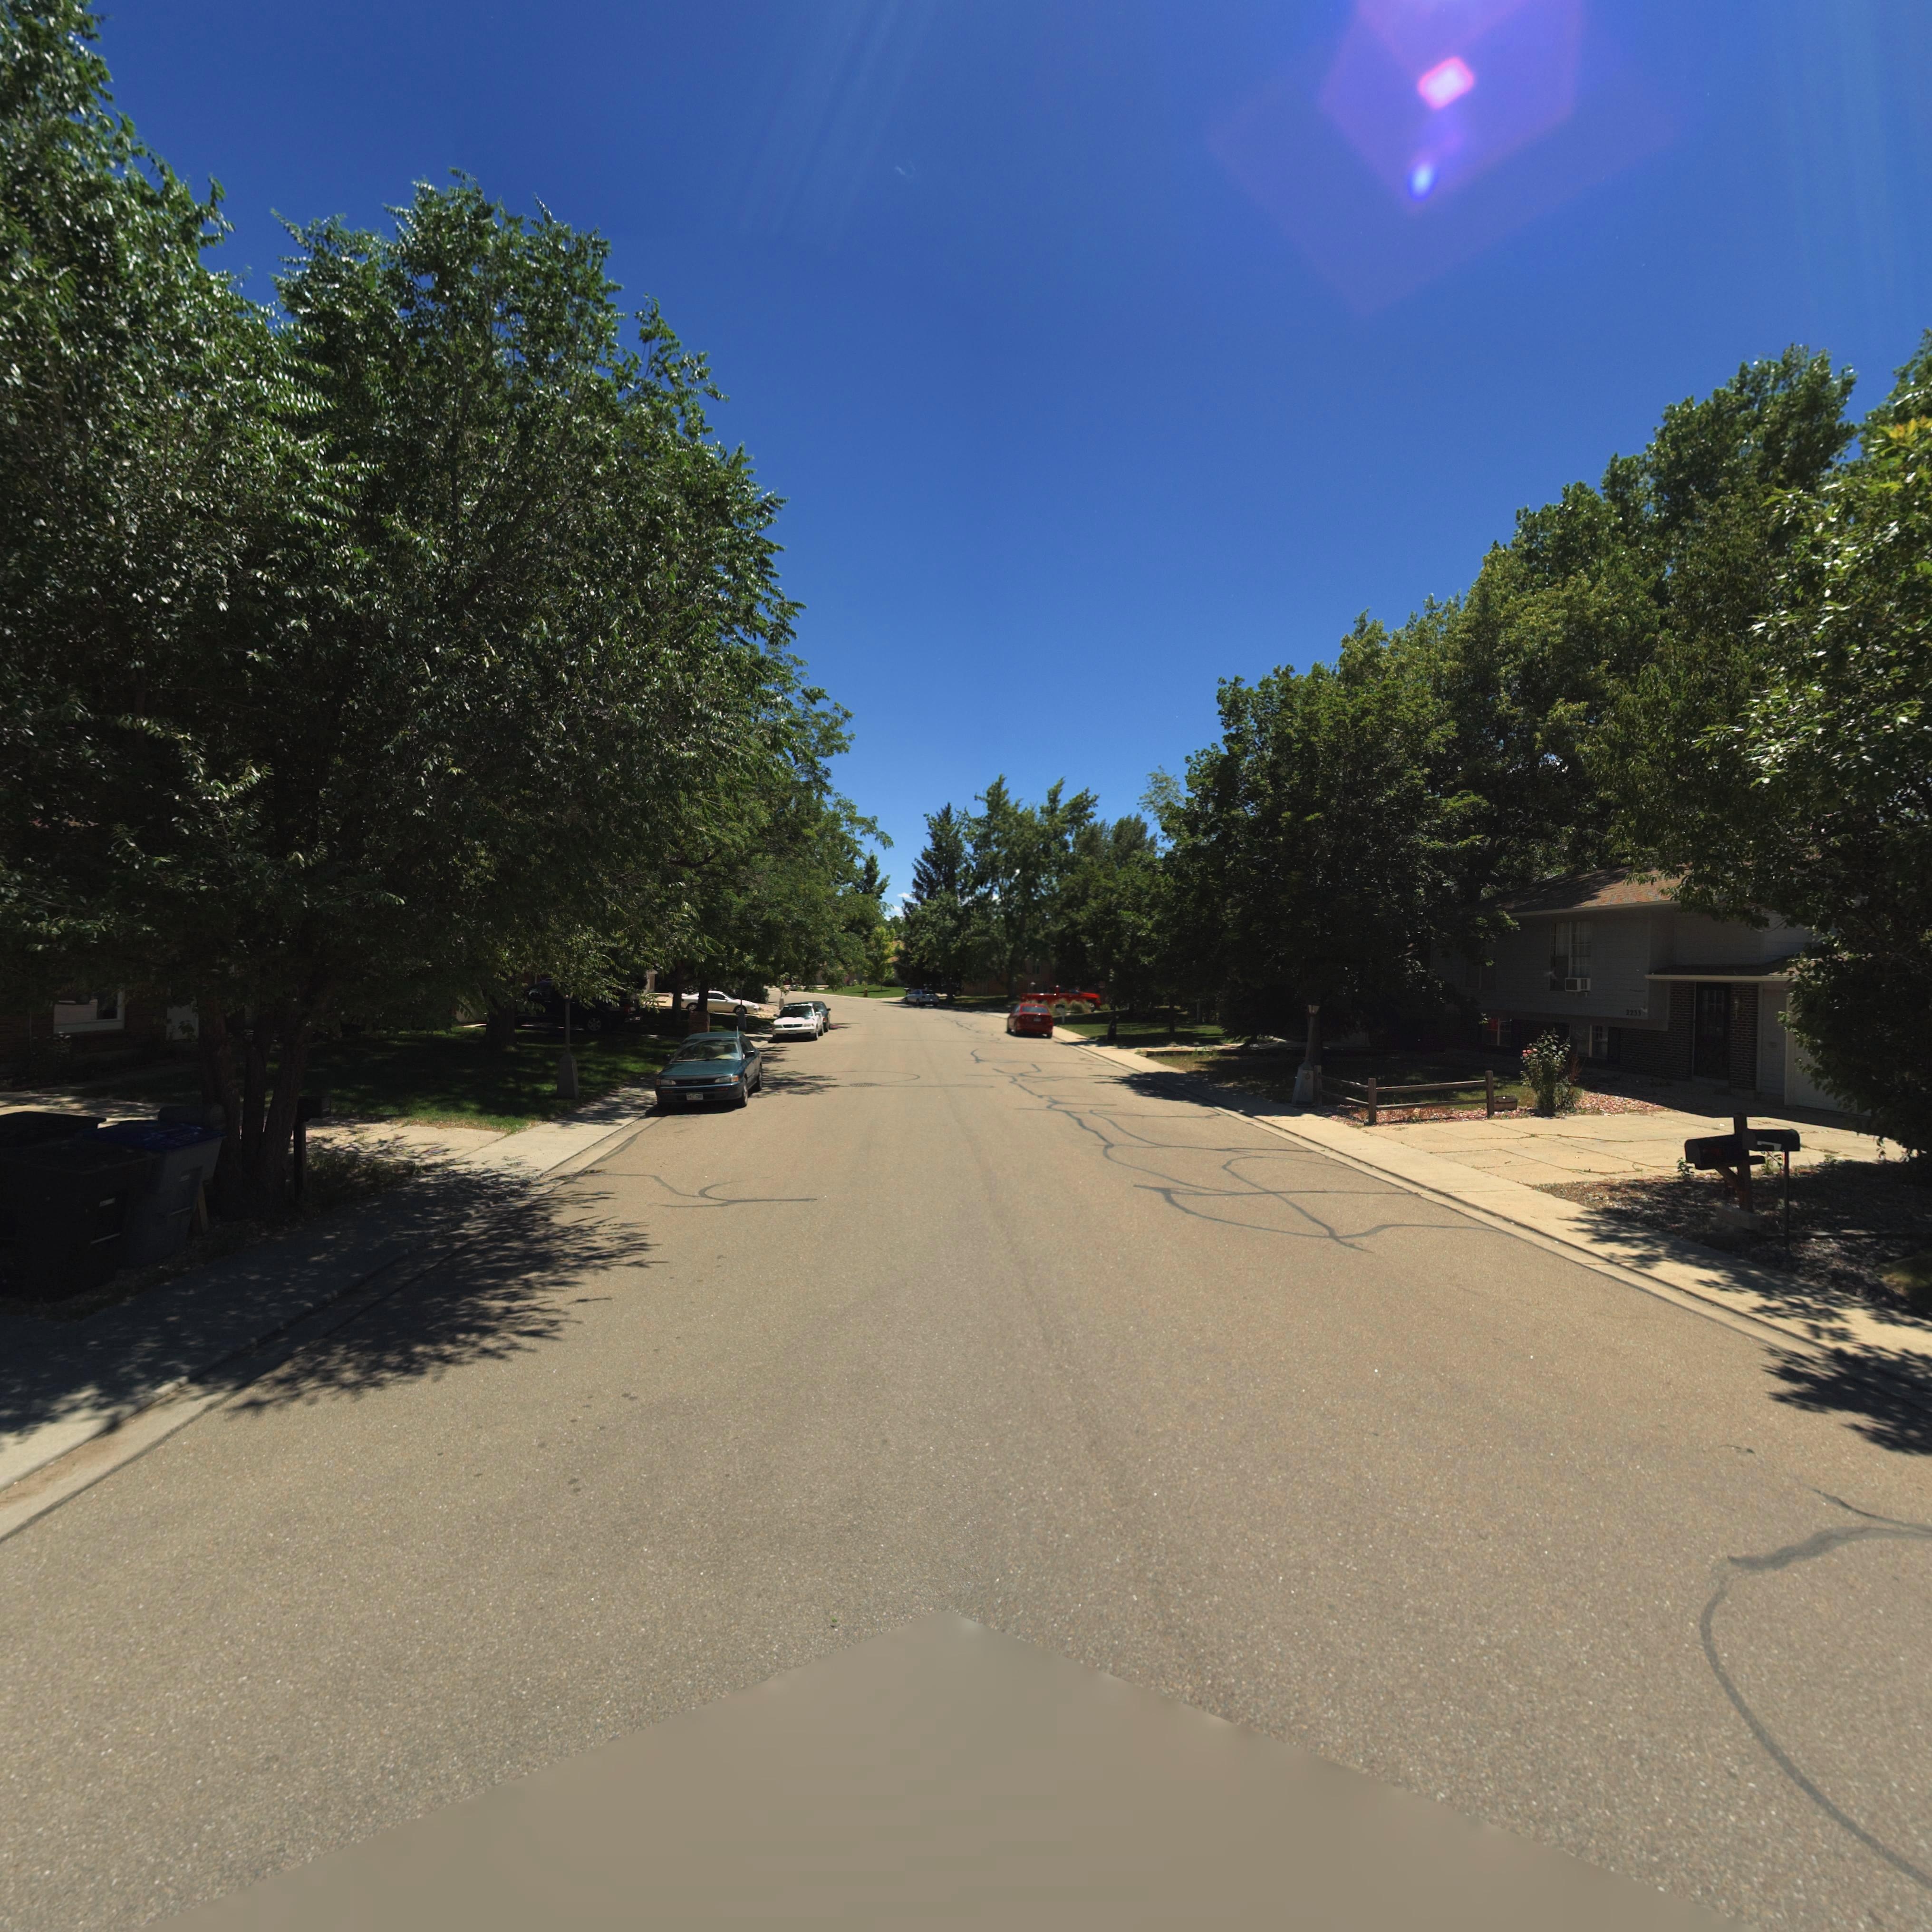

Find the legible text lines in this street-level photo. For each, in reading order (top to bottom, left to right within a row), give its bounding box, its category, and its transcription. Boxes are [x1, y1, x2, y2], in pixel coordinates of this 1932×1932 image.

[1624, 1009, 1641, 1016] StreetNumber: 2233